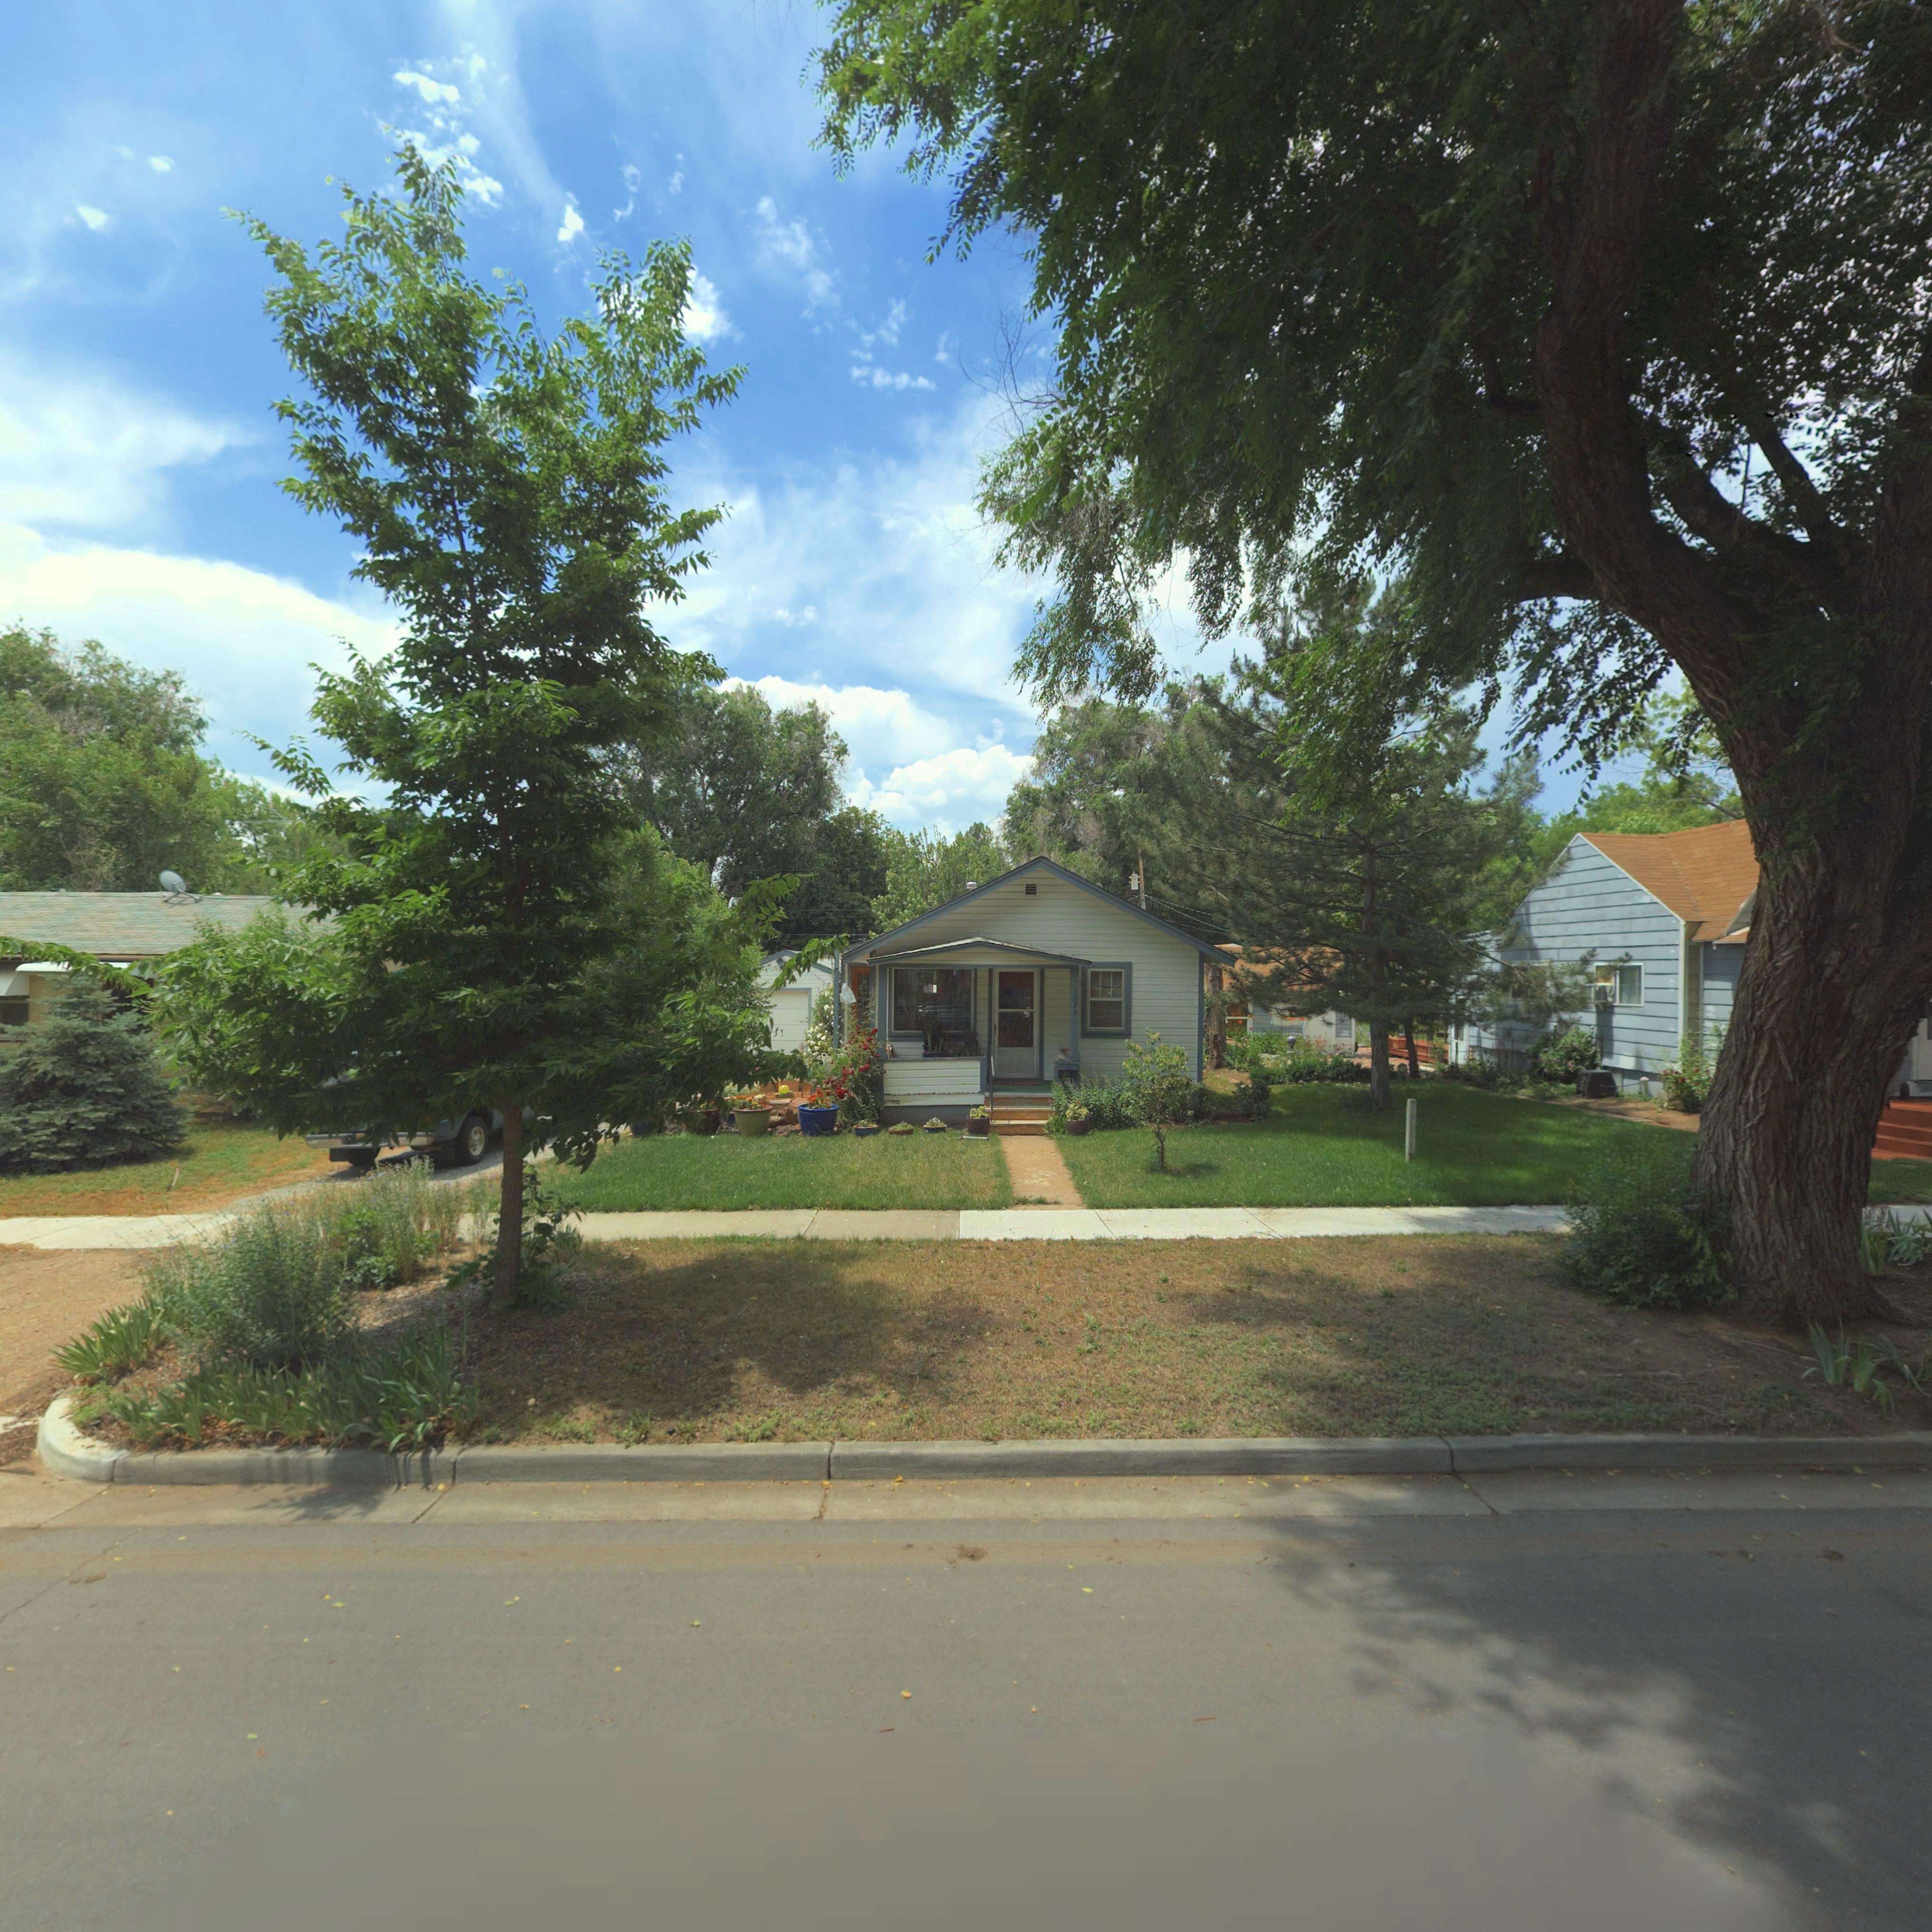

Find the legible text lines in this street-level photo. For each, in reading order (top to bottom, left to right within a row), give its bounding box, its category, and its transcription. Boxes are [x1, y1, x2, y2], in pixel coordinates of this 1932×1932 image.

[1072, 987, 1079, 1017] StreetNumber: 1023